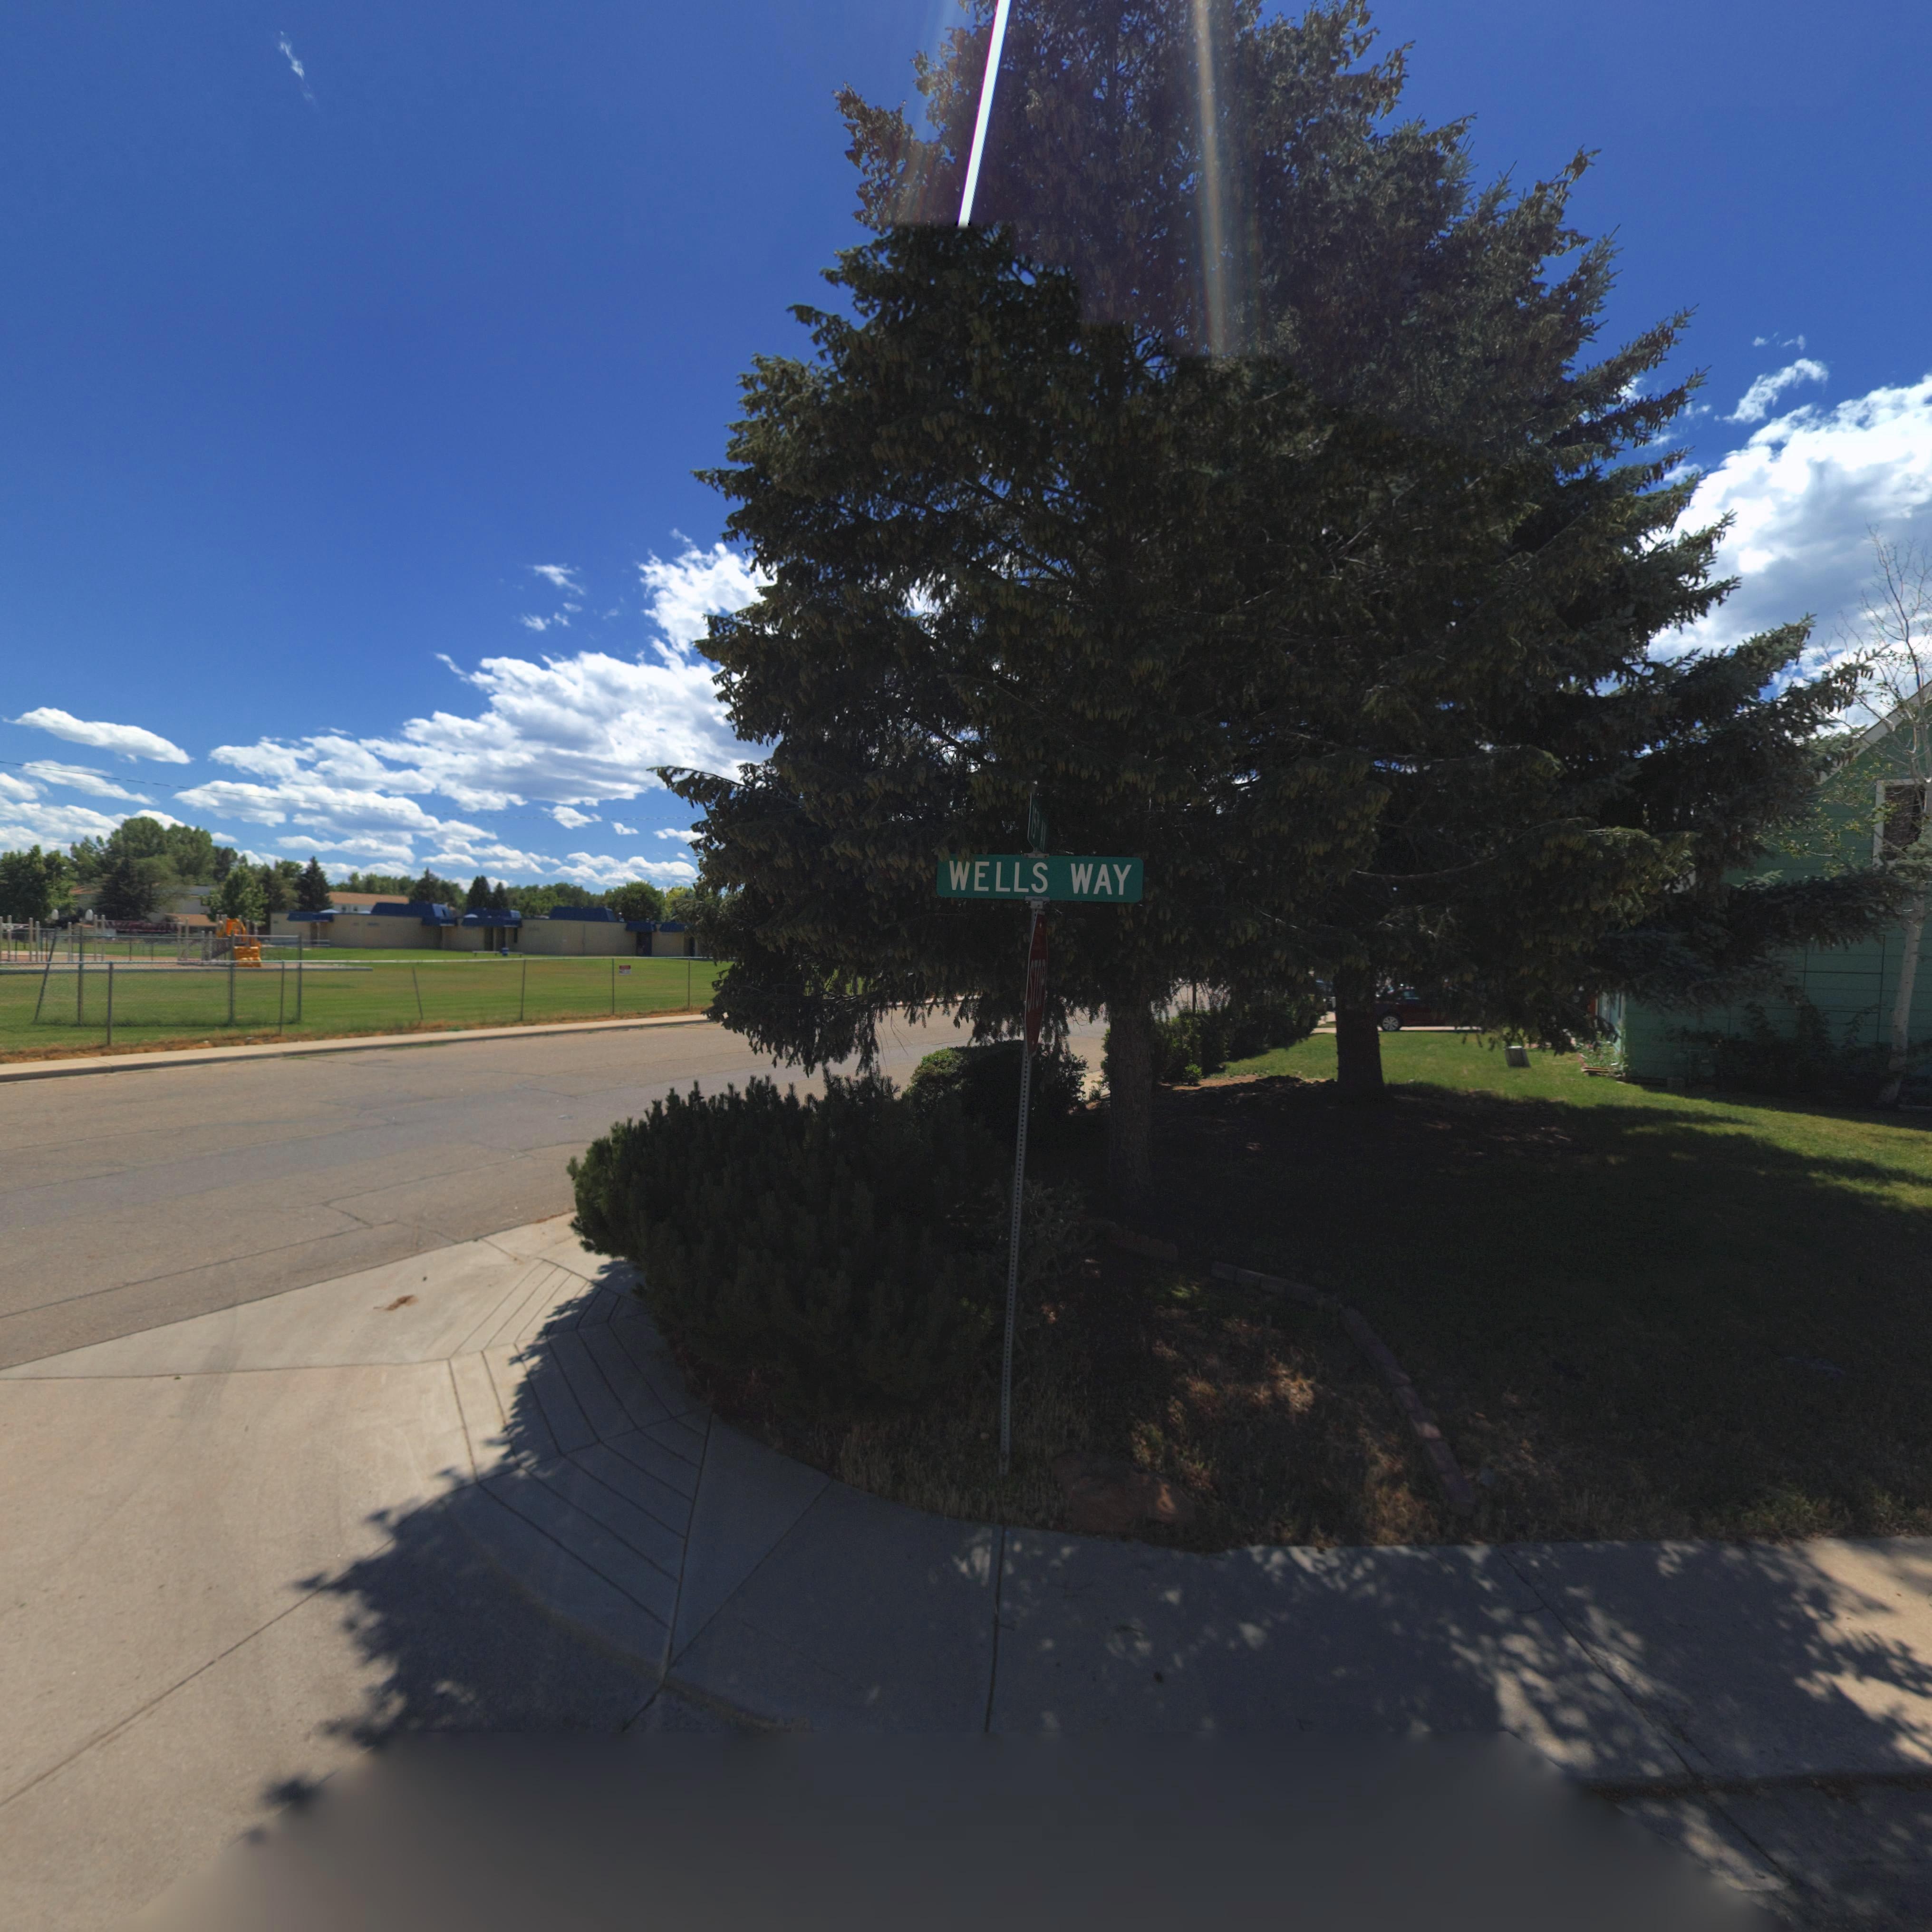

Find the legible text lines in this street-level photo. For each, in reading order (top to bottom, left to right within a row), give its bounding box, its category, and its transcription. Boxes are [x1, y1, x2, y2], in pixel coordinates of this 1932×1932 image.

[1030, 803, 1048, 853] StreetName: 15TH AV
[948, 860, 1132, 896] StreetName: WELLS WAY